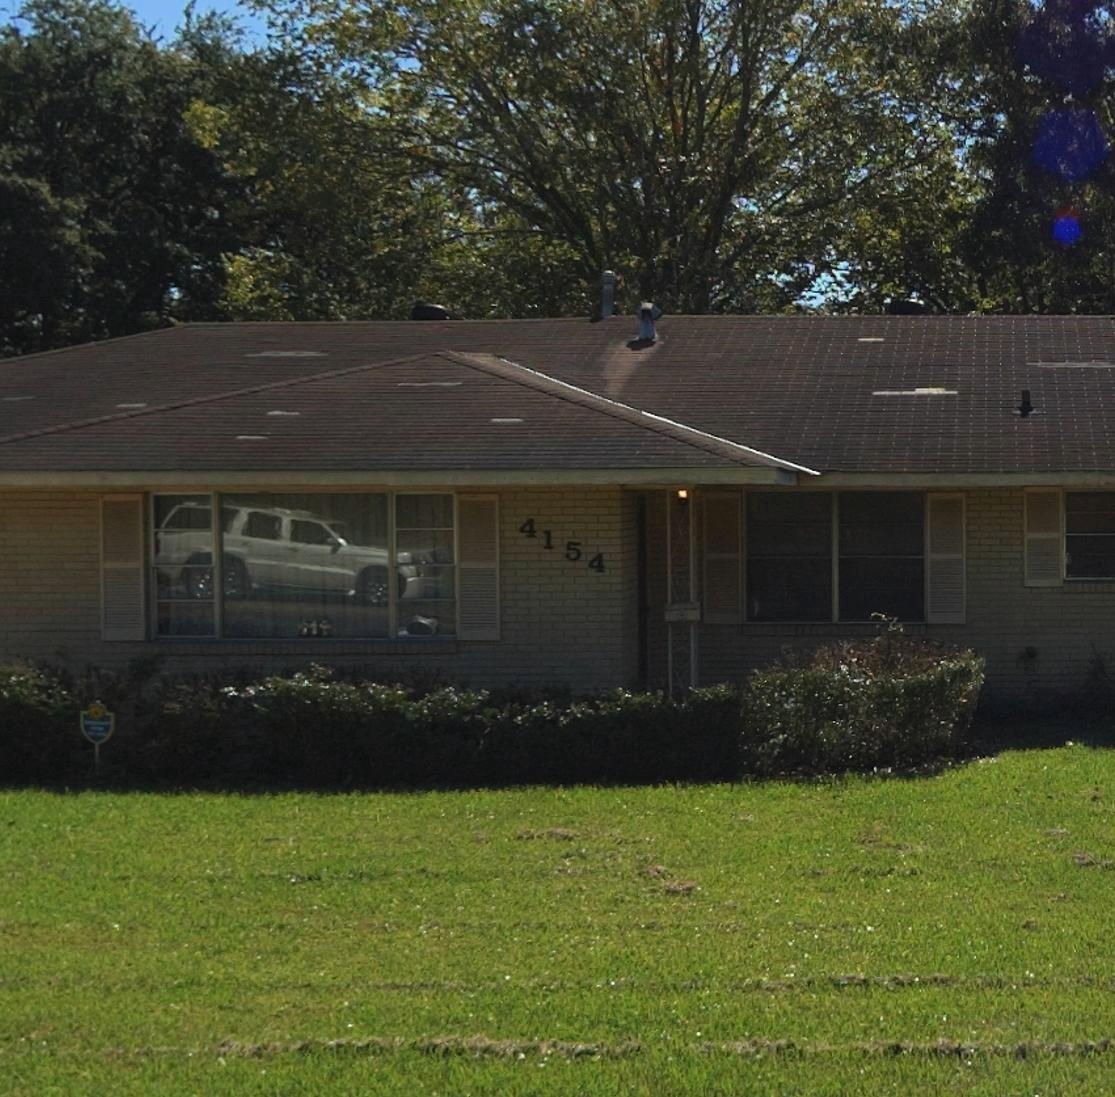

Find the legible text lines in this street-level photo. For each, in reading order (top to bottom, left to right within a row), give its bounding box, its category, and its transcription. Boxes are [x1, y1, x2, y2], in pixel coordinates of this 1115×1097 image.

[517, 514, 608, 576] StreetNumber: 4154